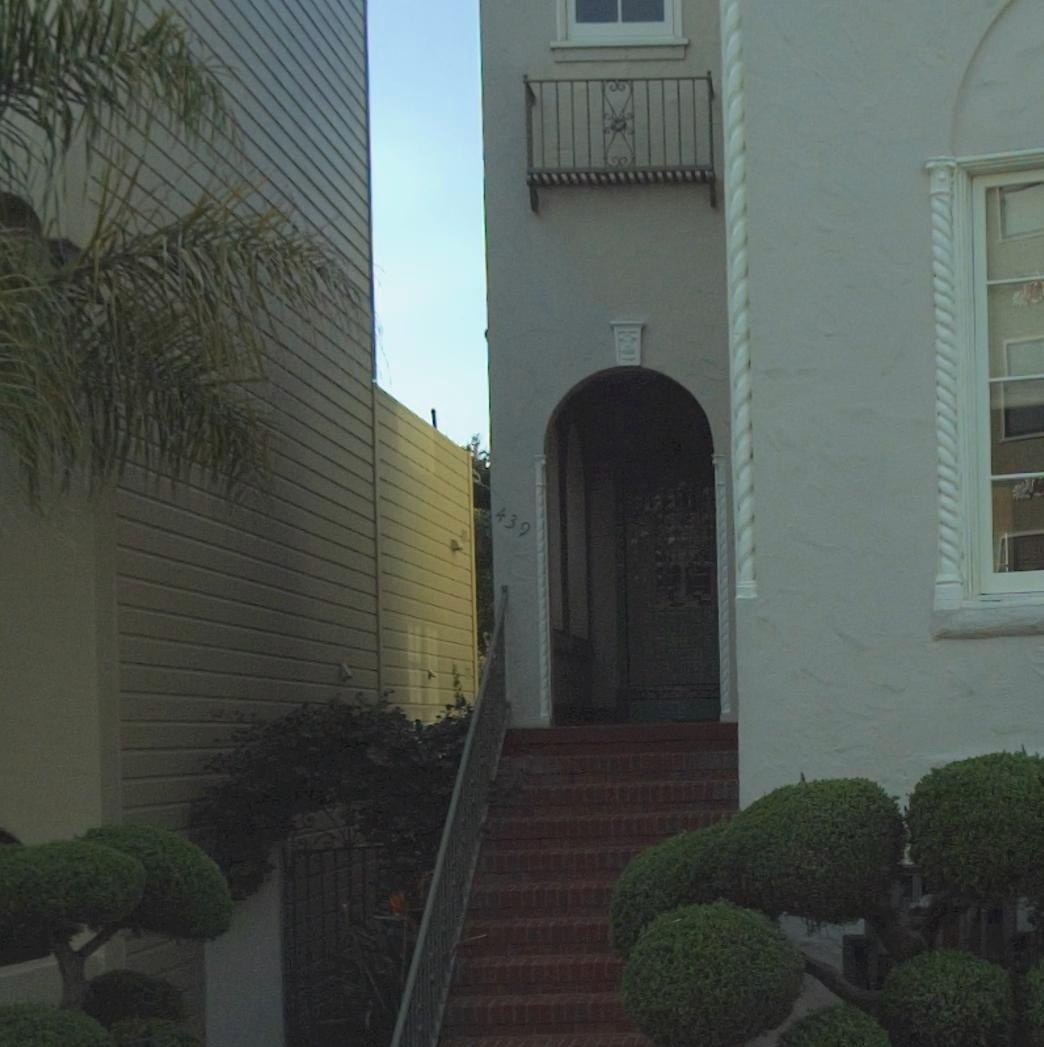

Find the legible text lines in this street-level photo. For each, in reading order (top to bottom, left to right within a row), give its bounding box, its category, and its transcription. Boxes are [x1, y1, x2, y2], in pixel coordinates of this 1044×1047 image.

[492, 504, 534, 542] StreetNumber: 439